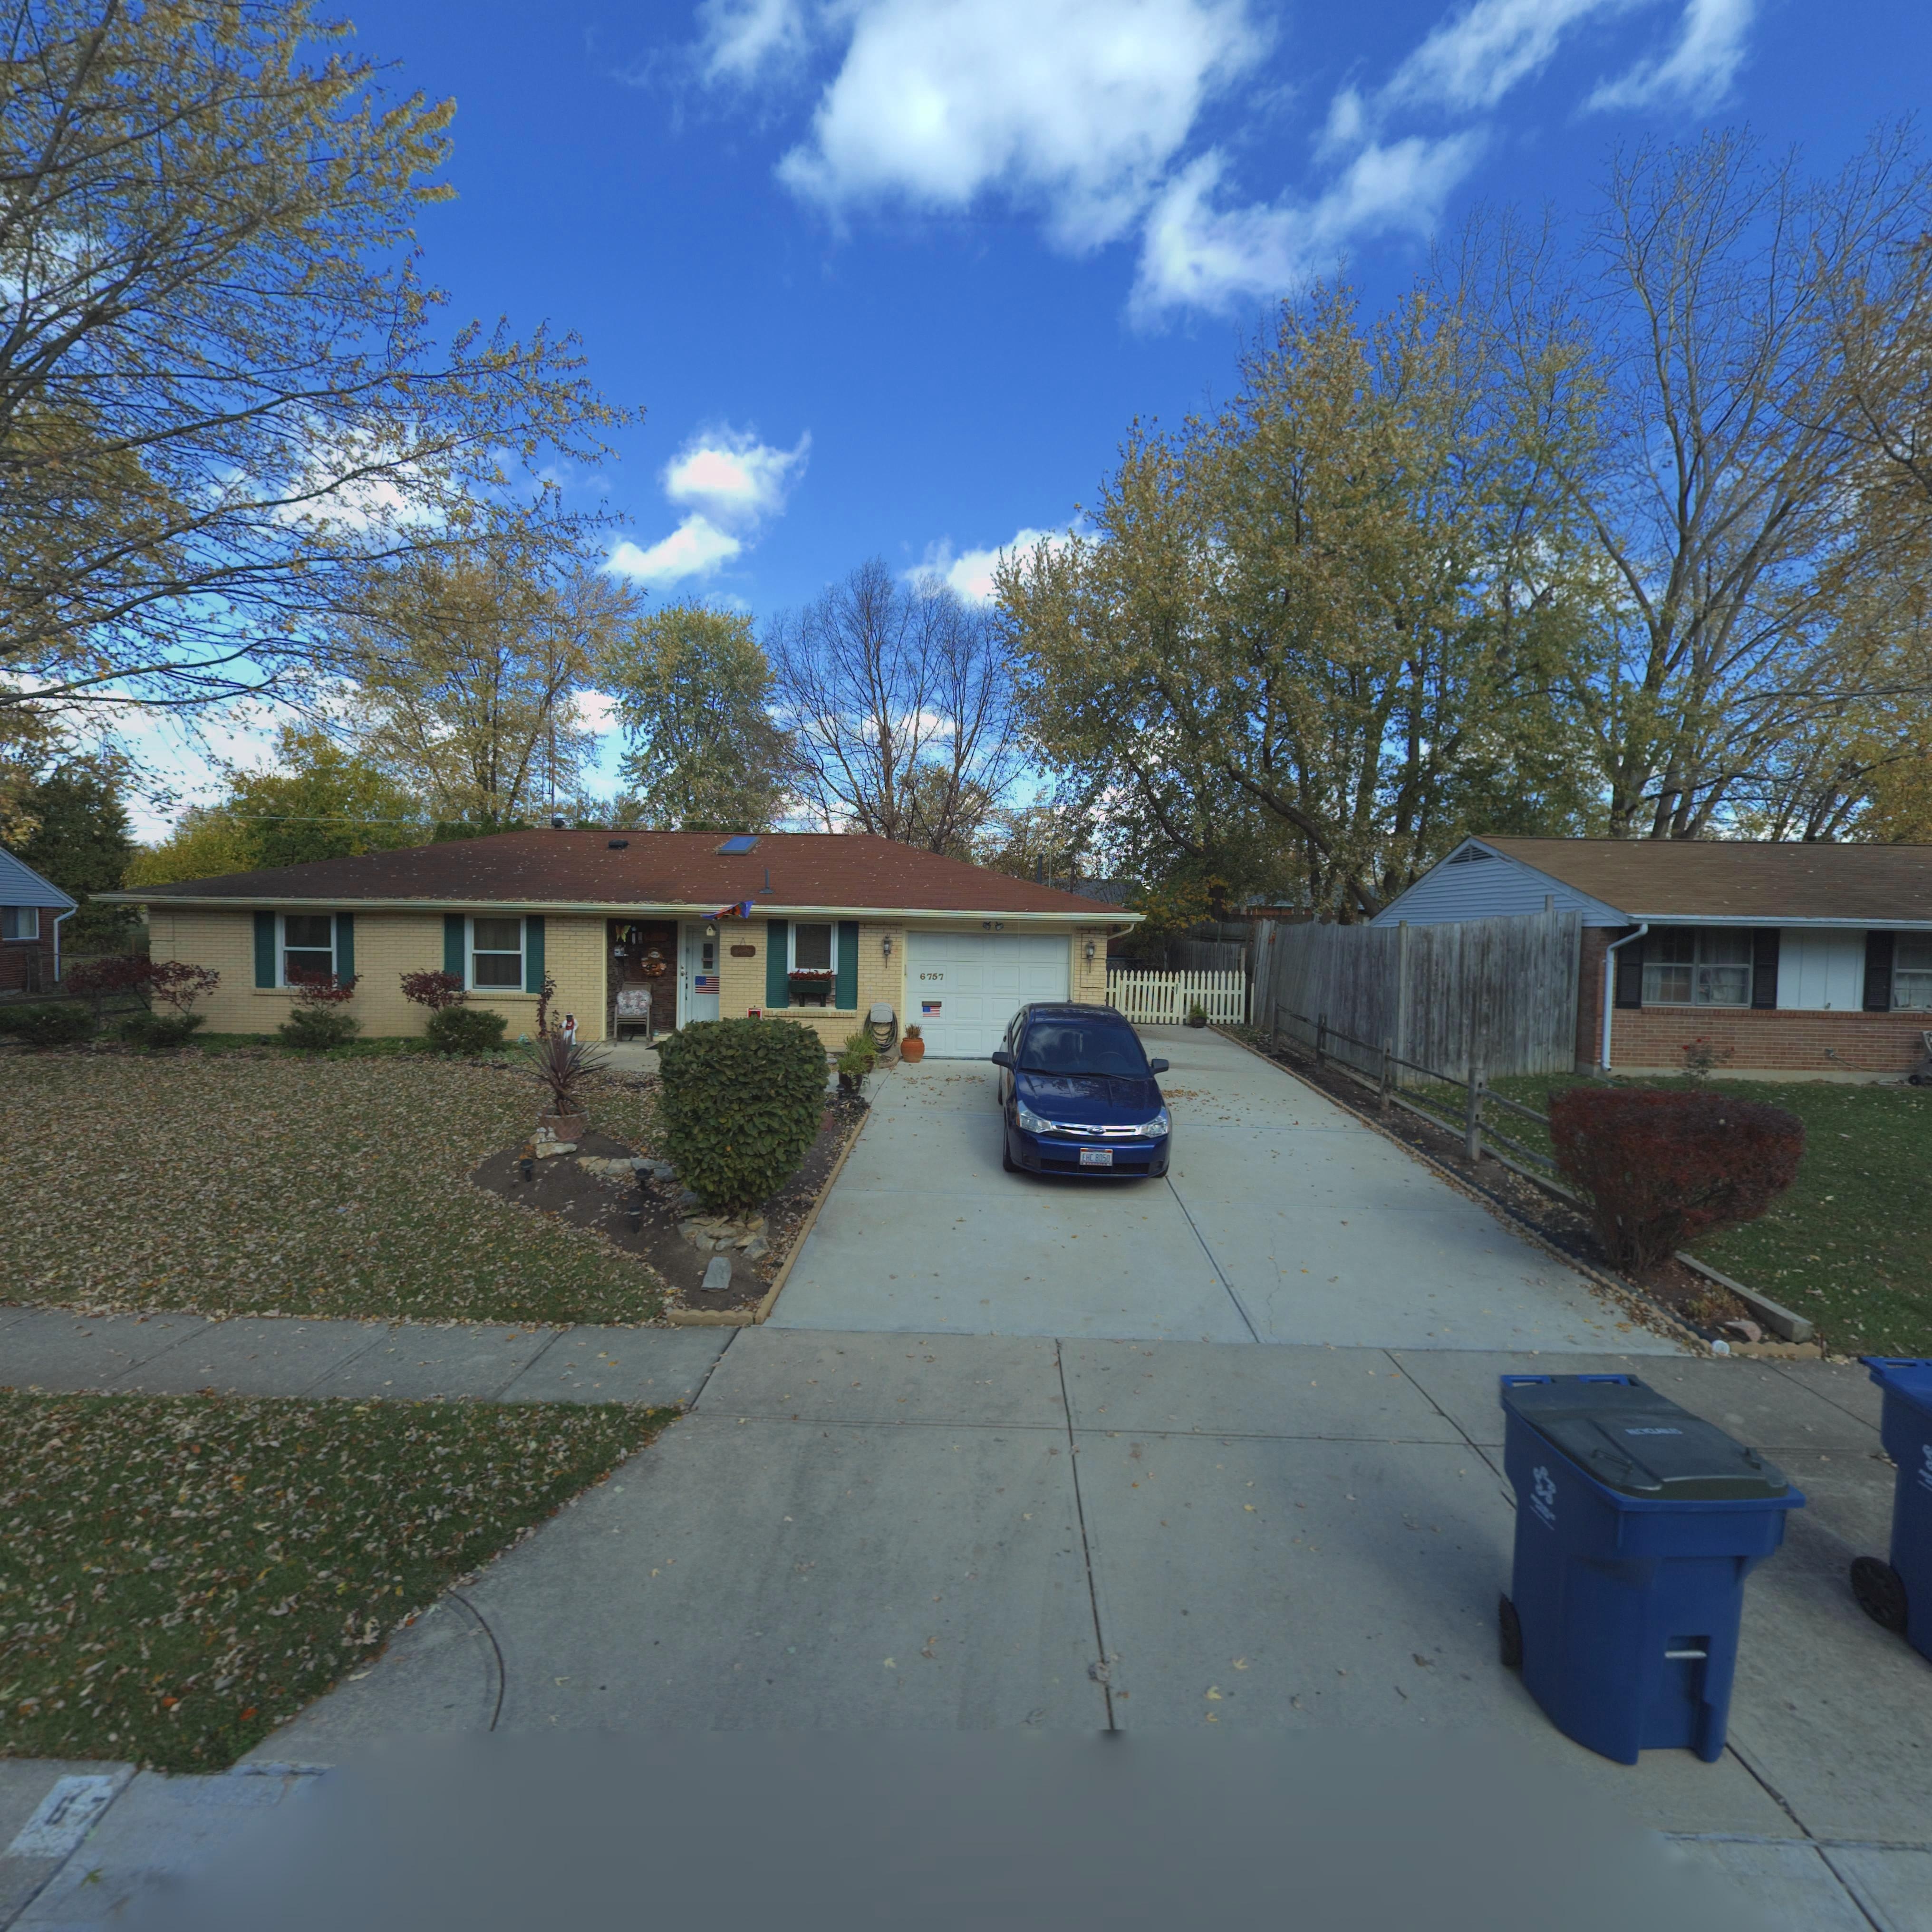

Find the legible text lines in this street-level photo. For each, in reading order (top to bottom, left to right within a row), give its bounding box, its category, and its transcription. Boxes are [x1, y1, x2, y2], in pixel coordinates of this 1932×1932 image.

[919, 973, 944, 981] StreetNumber: 6757
[39, 1793, 111, 1829] StreetNumber: 67